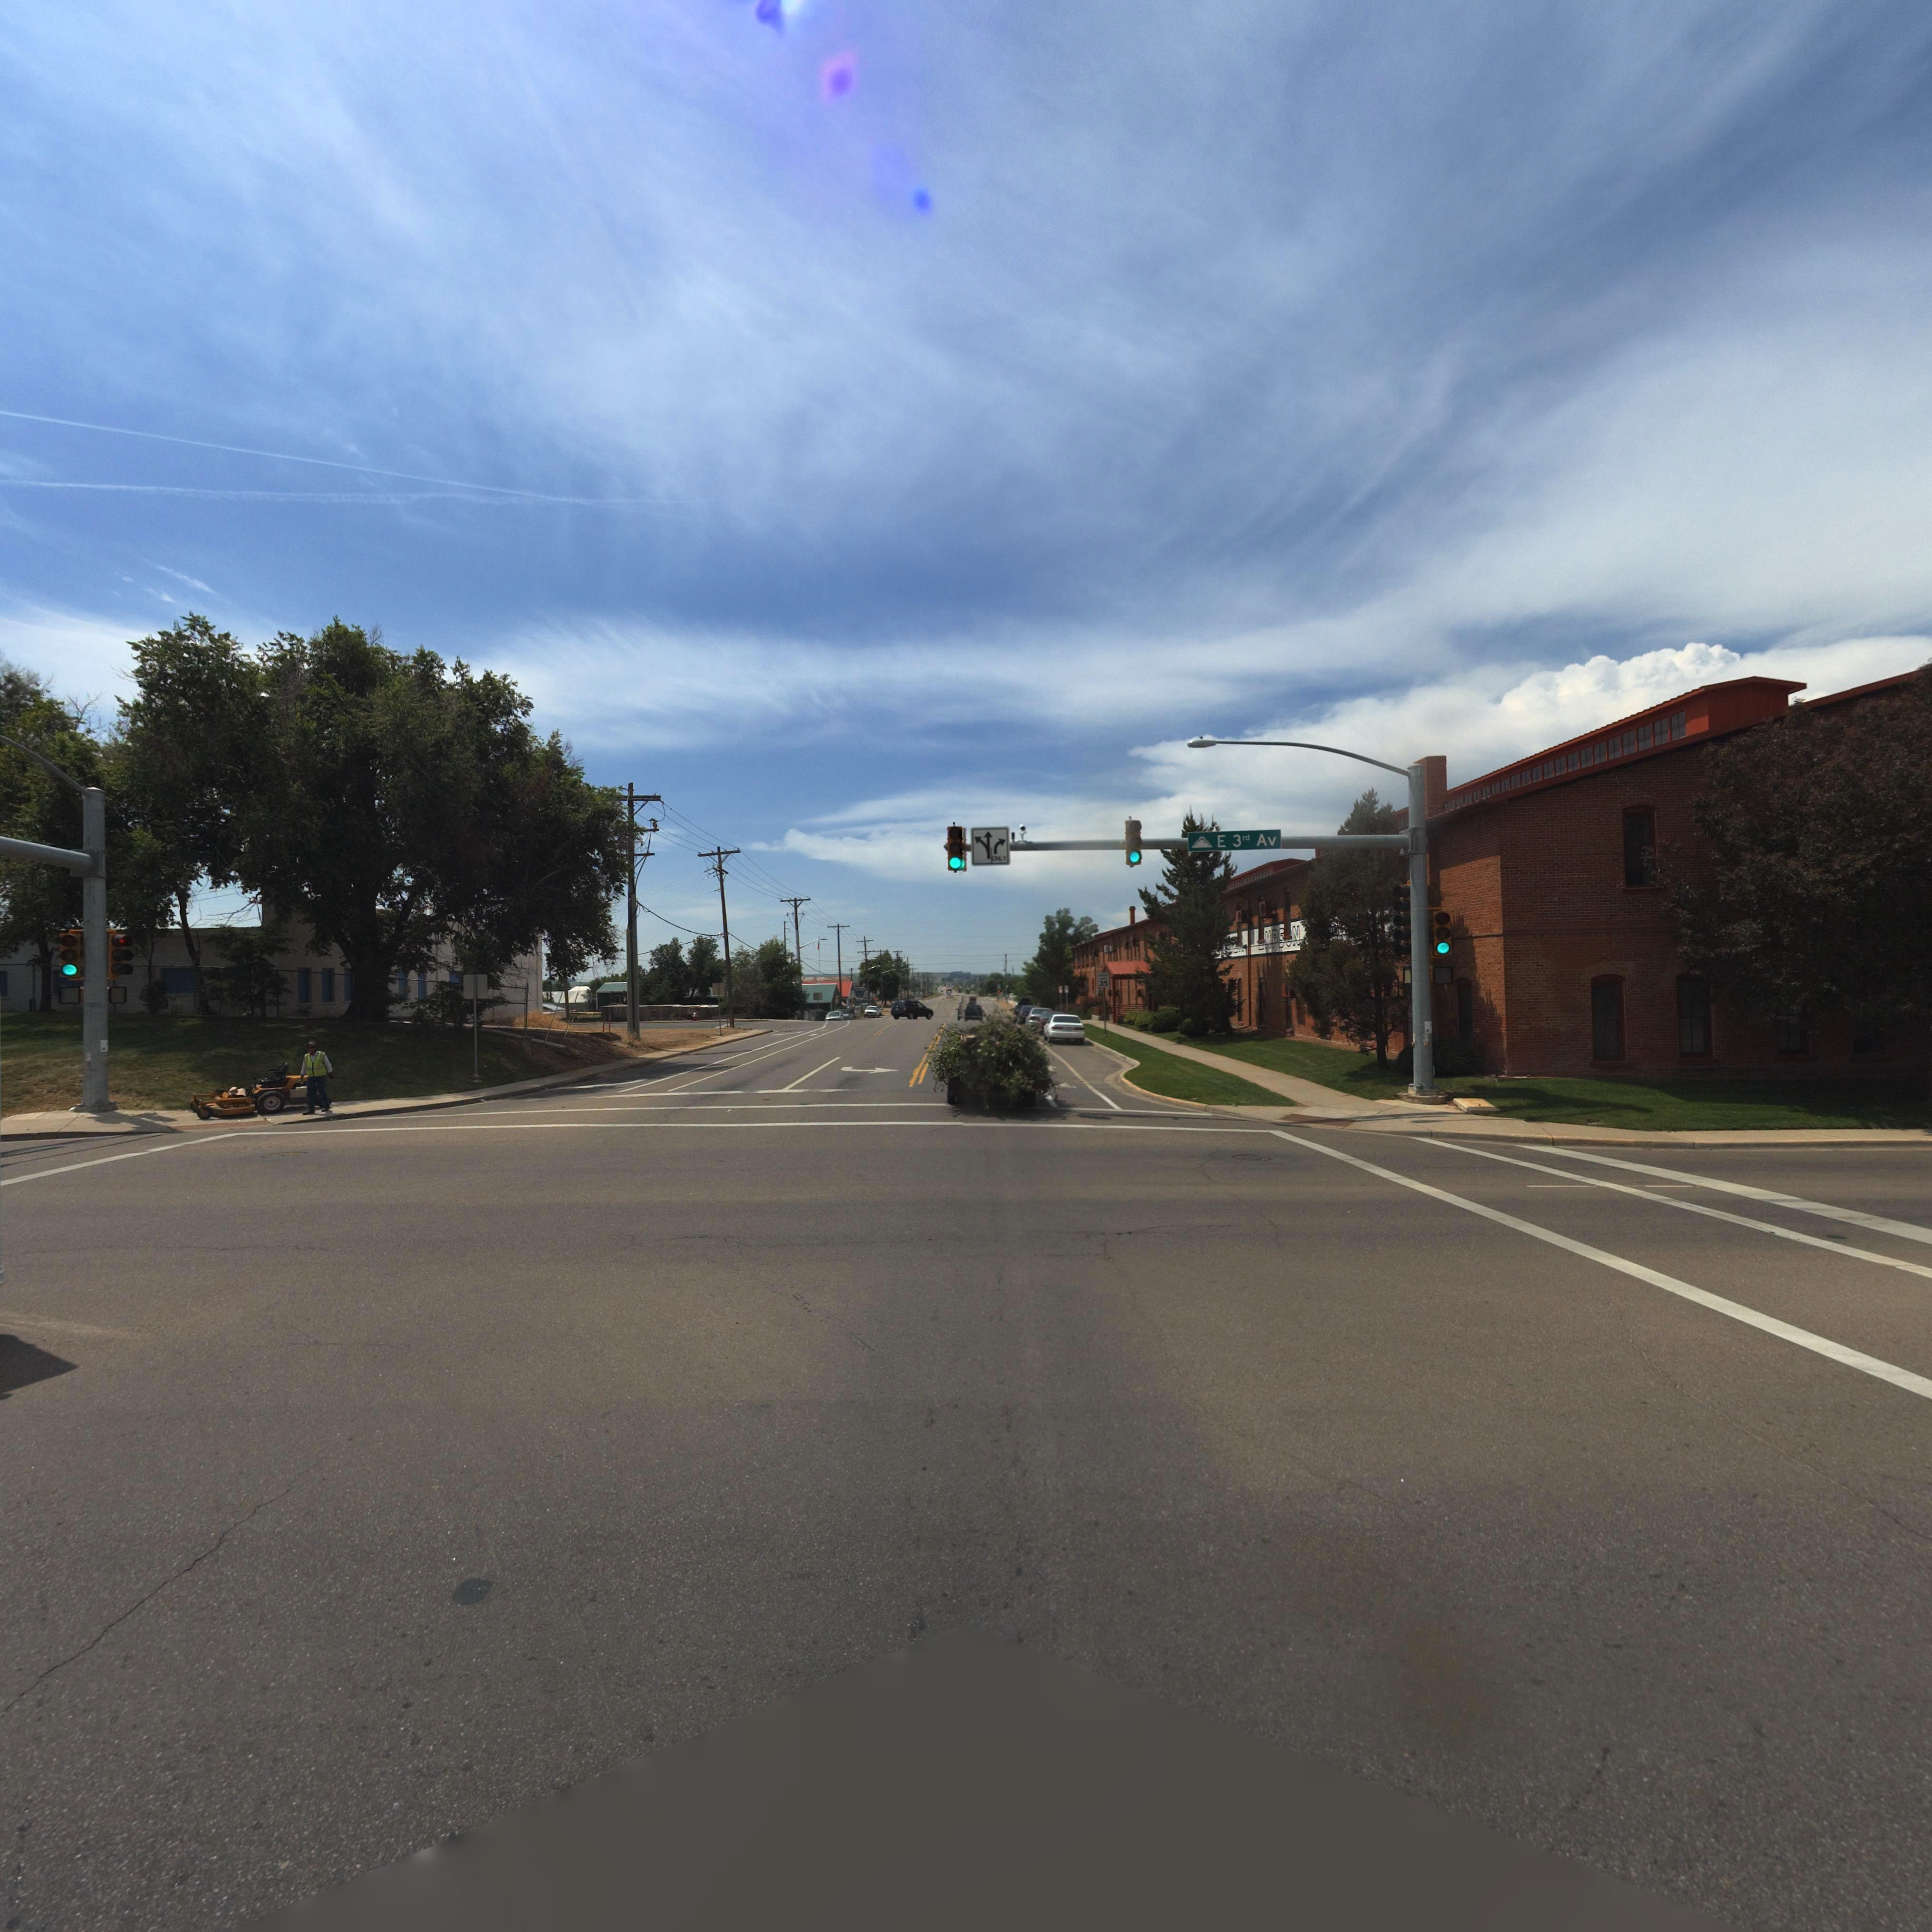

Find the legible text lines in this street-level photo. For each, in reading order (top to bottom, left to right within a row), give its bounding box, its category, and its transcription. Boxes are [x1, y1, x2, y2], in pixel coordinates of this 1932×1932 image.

[1216, 831, 1277, 848] StreetName: E 3rd Av